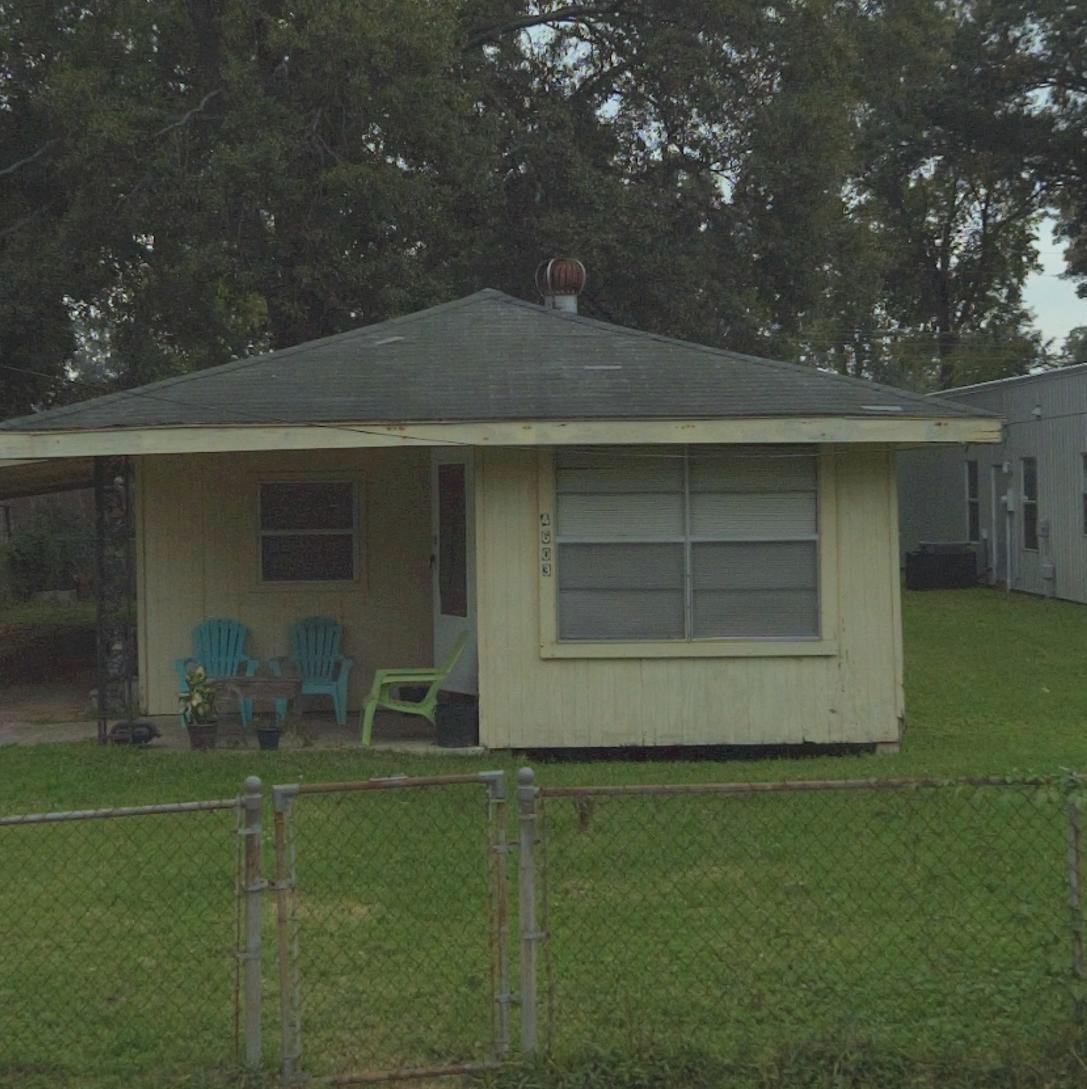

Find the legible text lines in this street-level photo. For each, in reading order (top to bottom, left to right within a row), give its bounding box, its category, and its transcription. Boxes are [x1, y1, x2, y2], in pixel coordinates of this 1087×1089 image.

[540, 513, 550, 576] StreetNumber: 4603